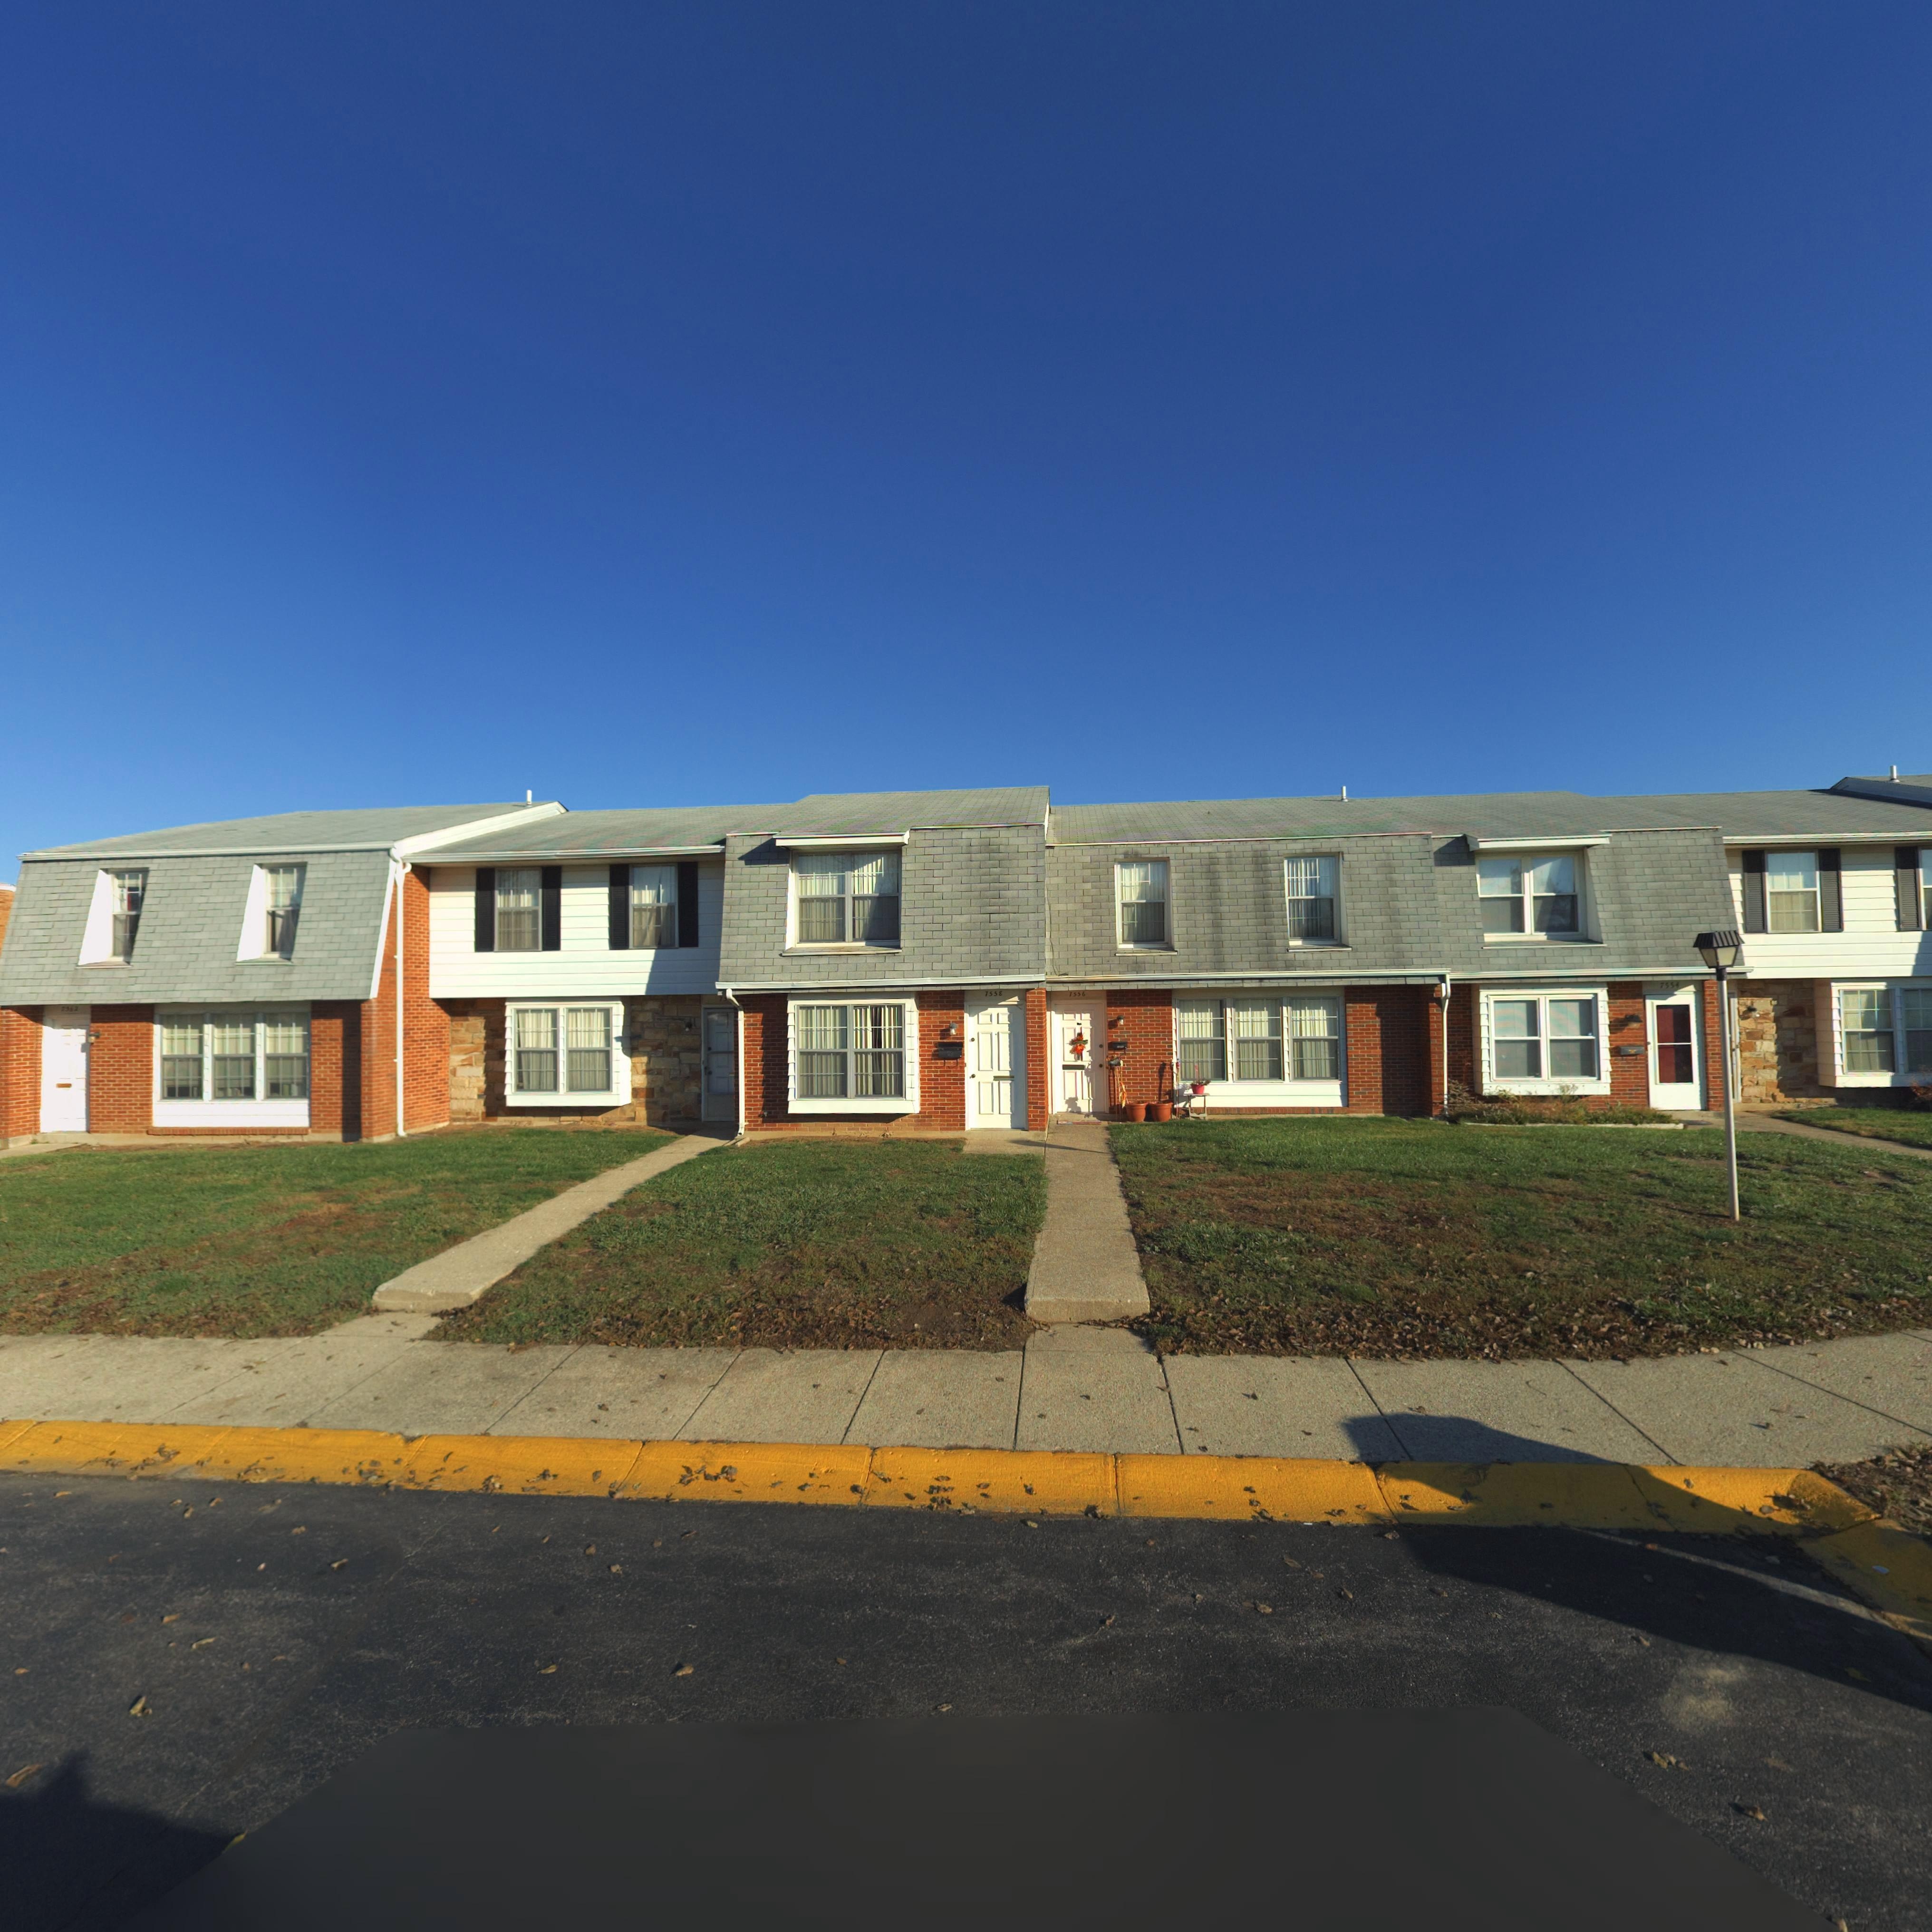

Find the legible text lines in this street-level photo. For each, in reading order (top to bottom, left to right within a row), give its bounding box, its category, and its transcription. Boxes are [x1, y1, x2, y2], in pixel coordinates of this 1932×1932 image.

[1658, 981, 1681, 990] StreetNumber: 7554
[984, 990, 1004, 998] StreetNumber: 7558
[1068, 990, 1087, 998] StreetNumber: 7556
[718, 995, 728, 1003] StreetNumber: 75